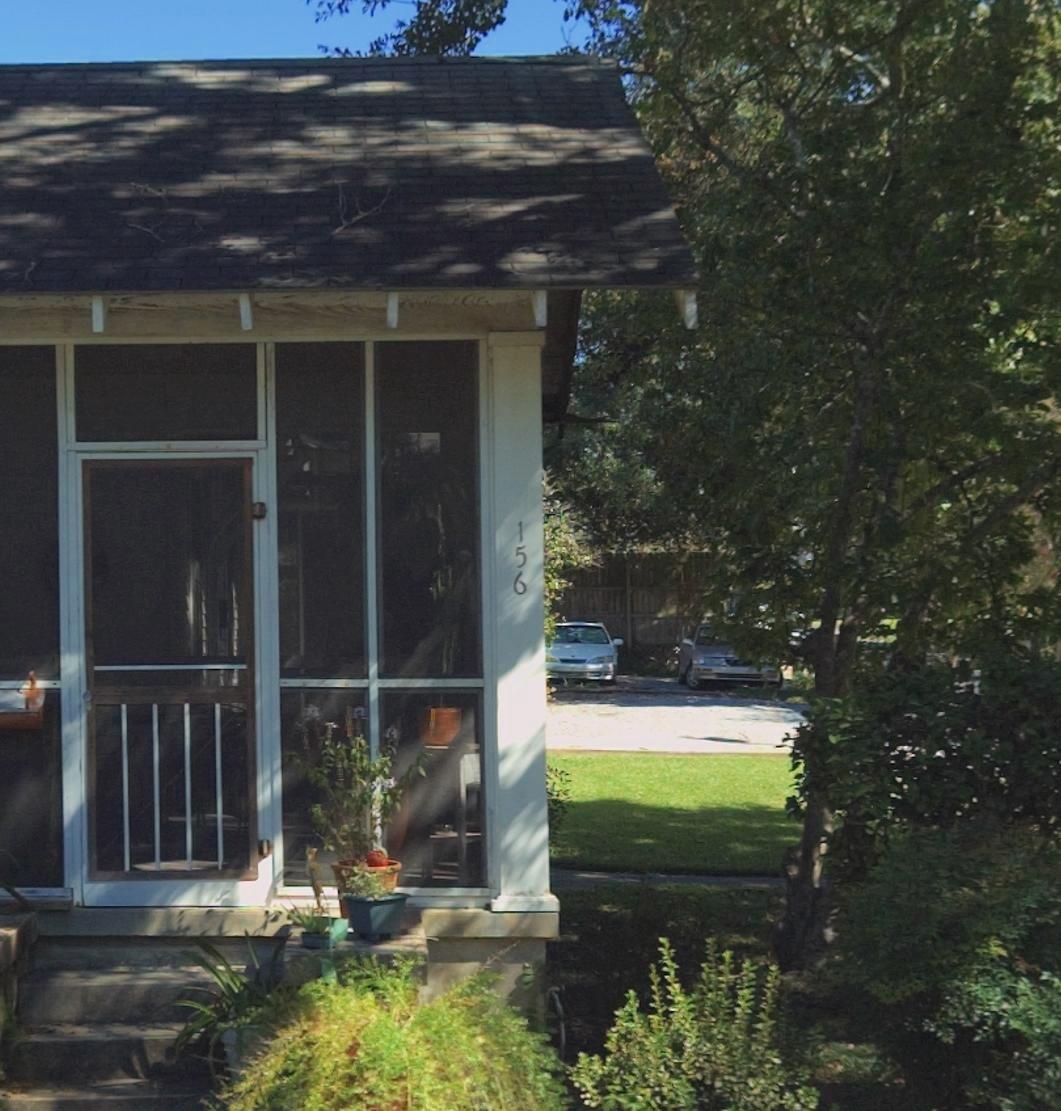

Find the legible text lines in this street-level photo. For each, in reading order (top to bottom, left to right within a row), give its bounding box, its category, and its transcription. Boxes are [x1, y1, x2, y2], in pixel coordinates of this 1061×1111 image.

[513, 520, 528, 596] StreetNumber: 156